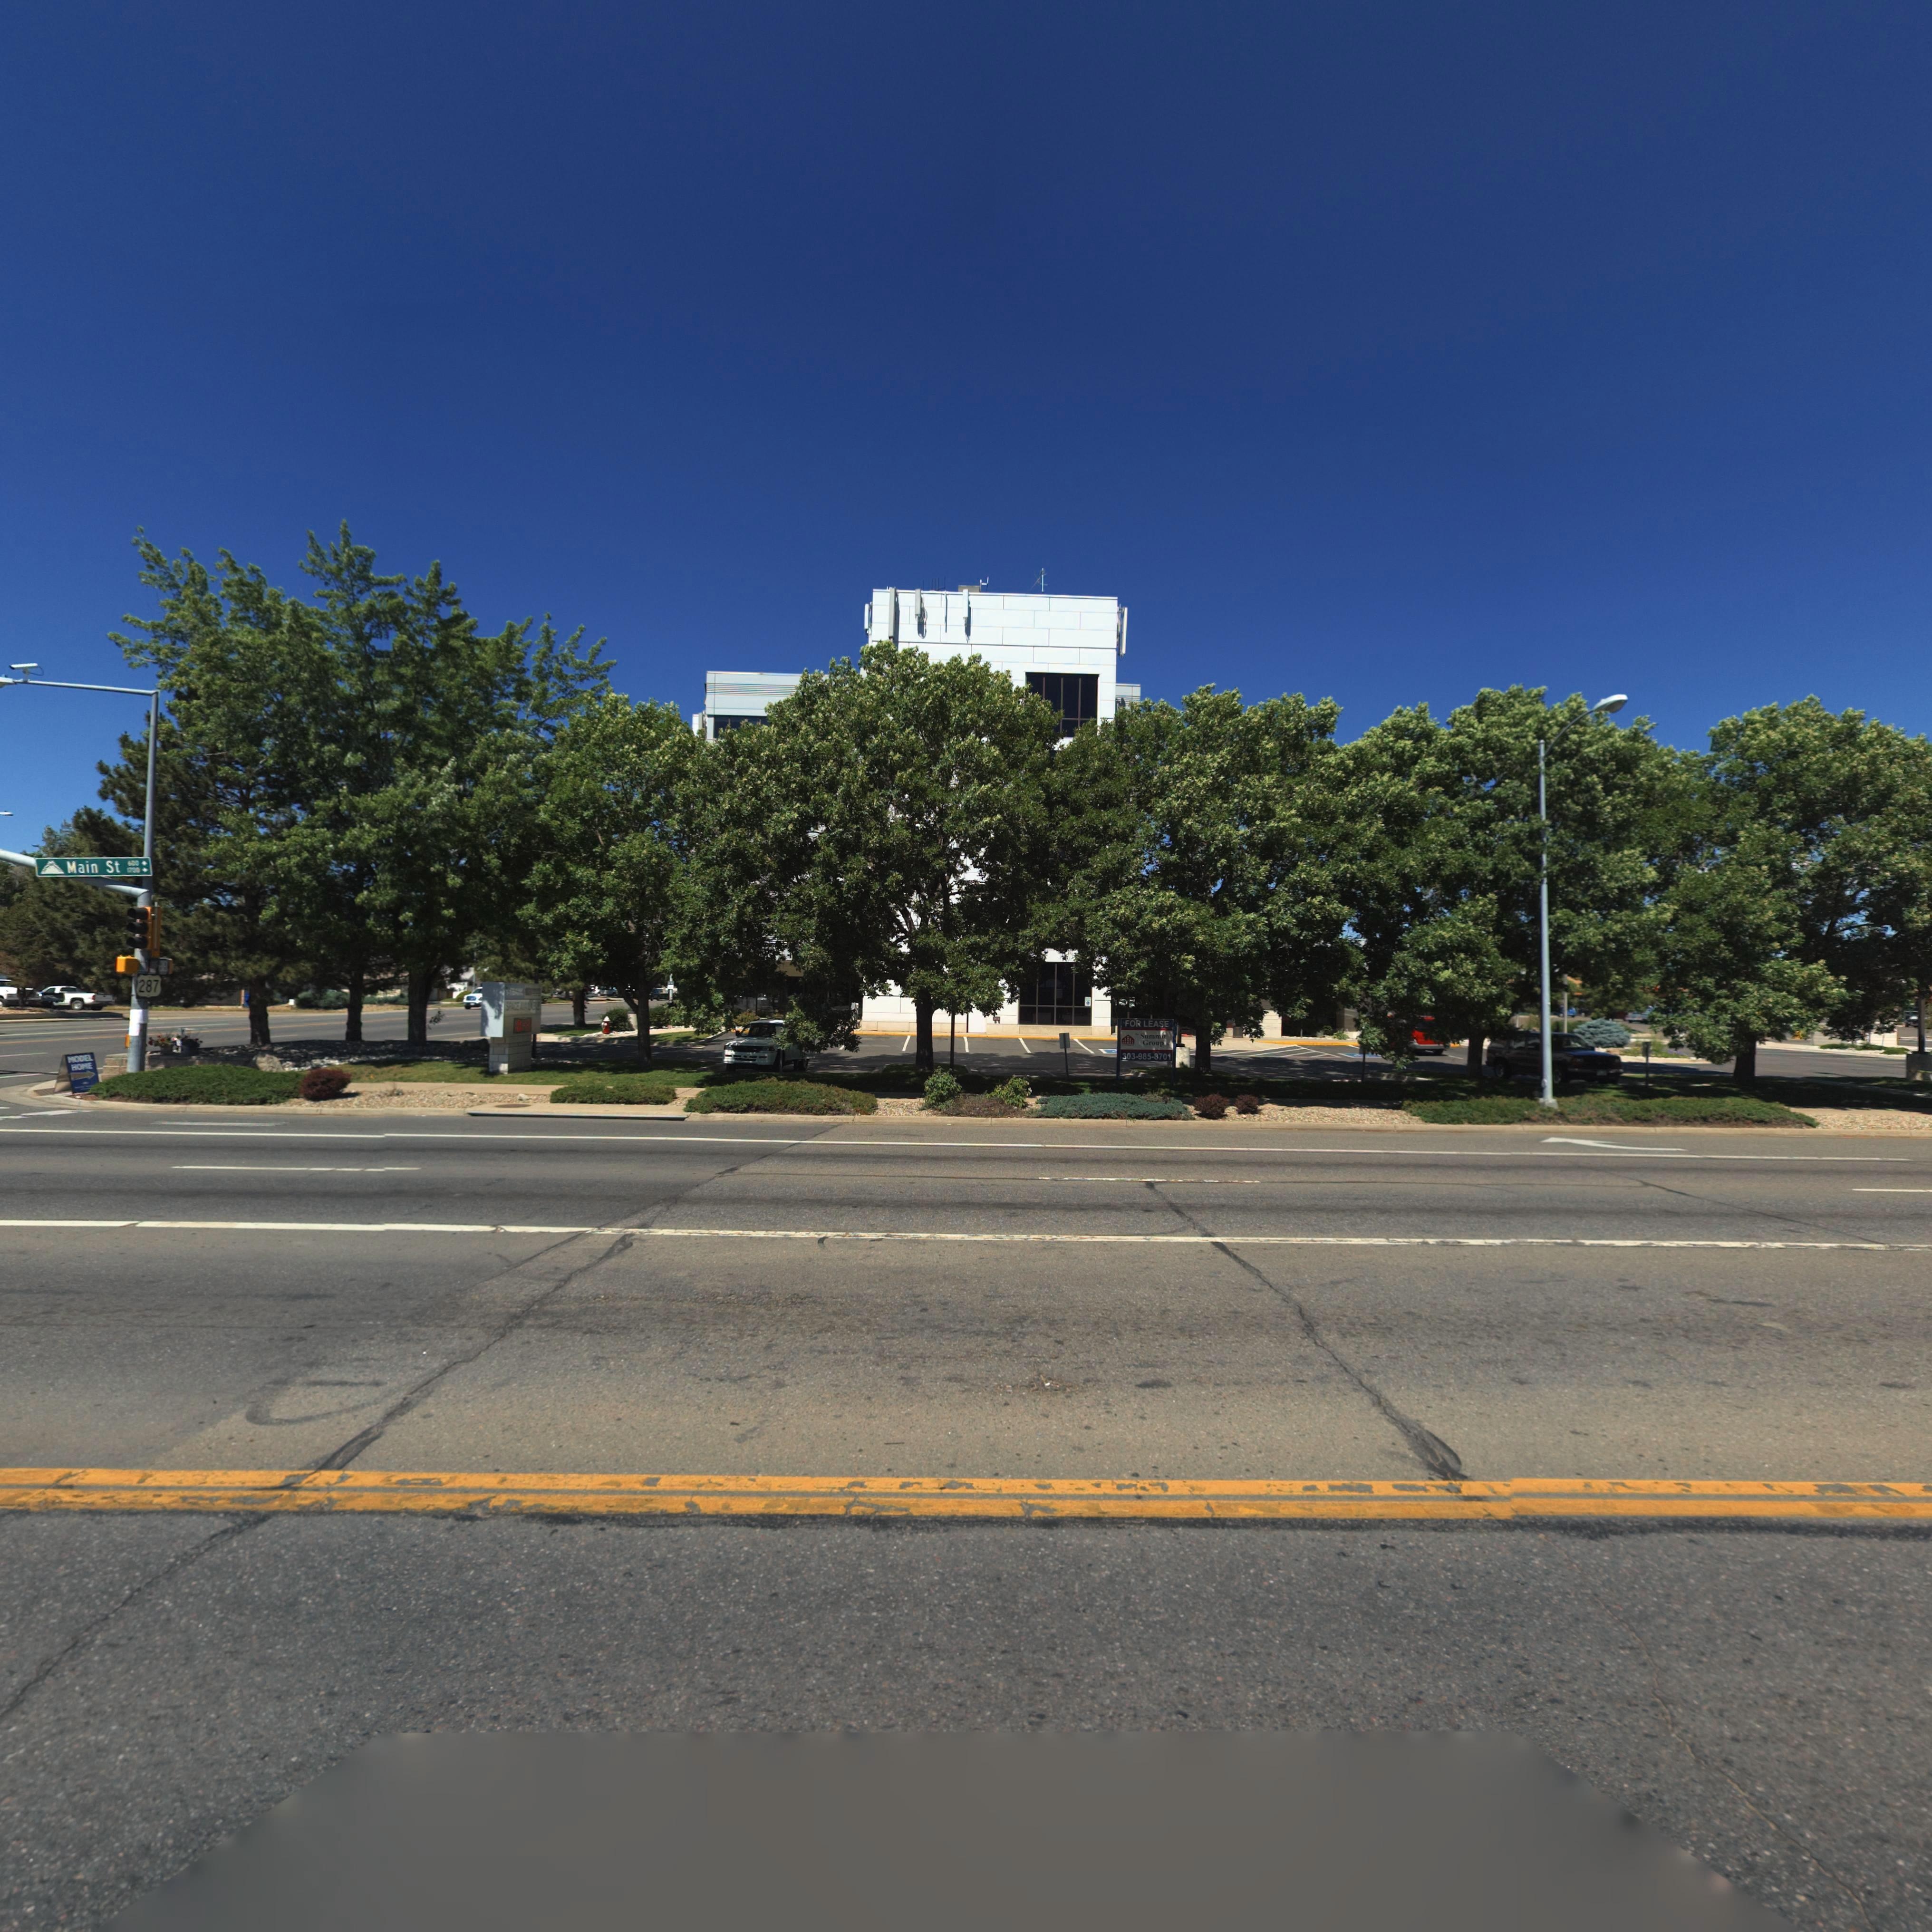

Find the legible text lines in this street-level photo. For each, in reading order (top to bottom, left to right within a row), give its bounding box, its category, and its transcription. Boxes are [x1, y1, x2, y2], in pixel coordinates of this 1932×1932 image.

[66, 860, 120, 873] StreetName: Main St
[127, 860, 139, 866] StreetNumberRange: 600
[126, 867, 149, 873] StreetNumberRange: 1*00 ->
[505, 987, 524, 996] BusinessName: ***BAN*